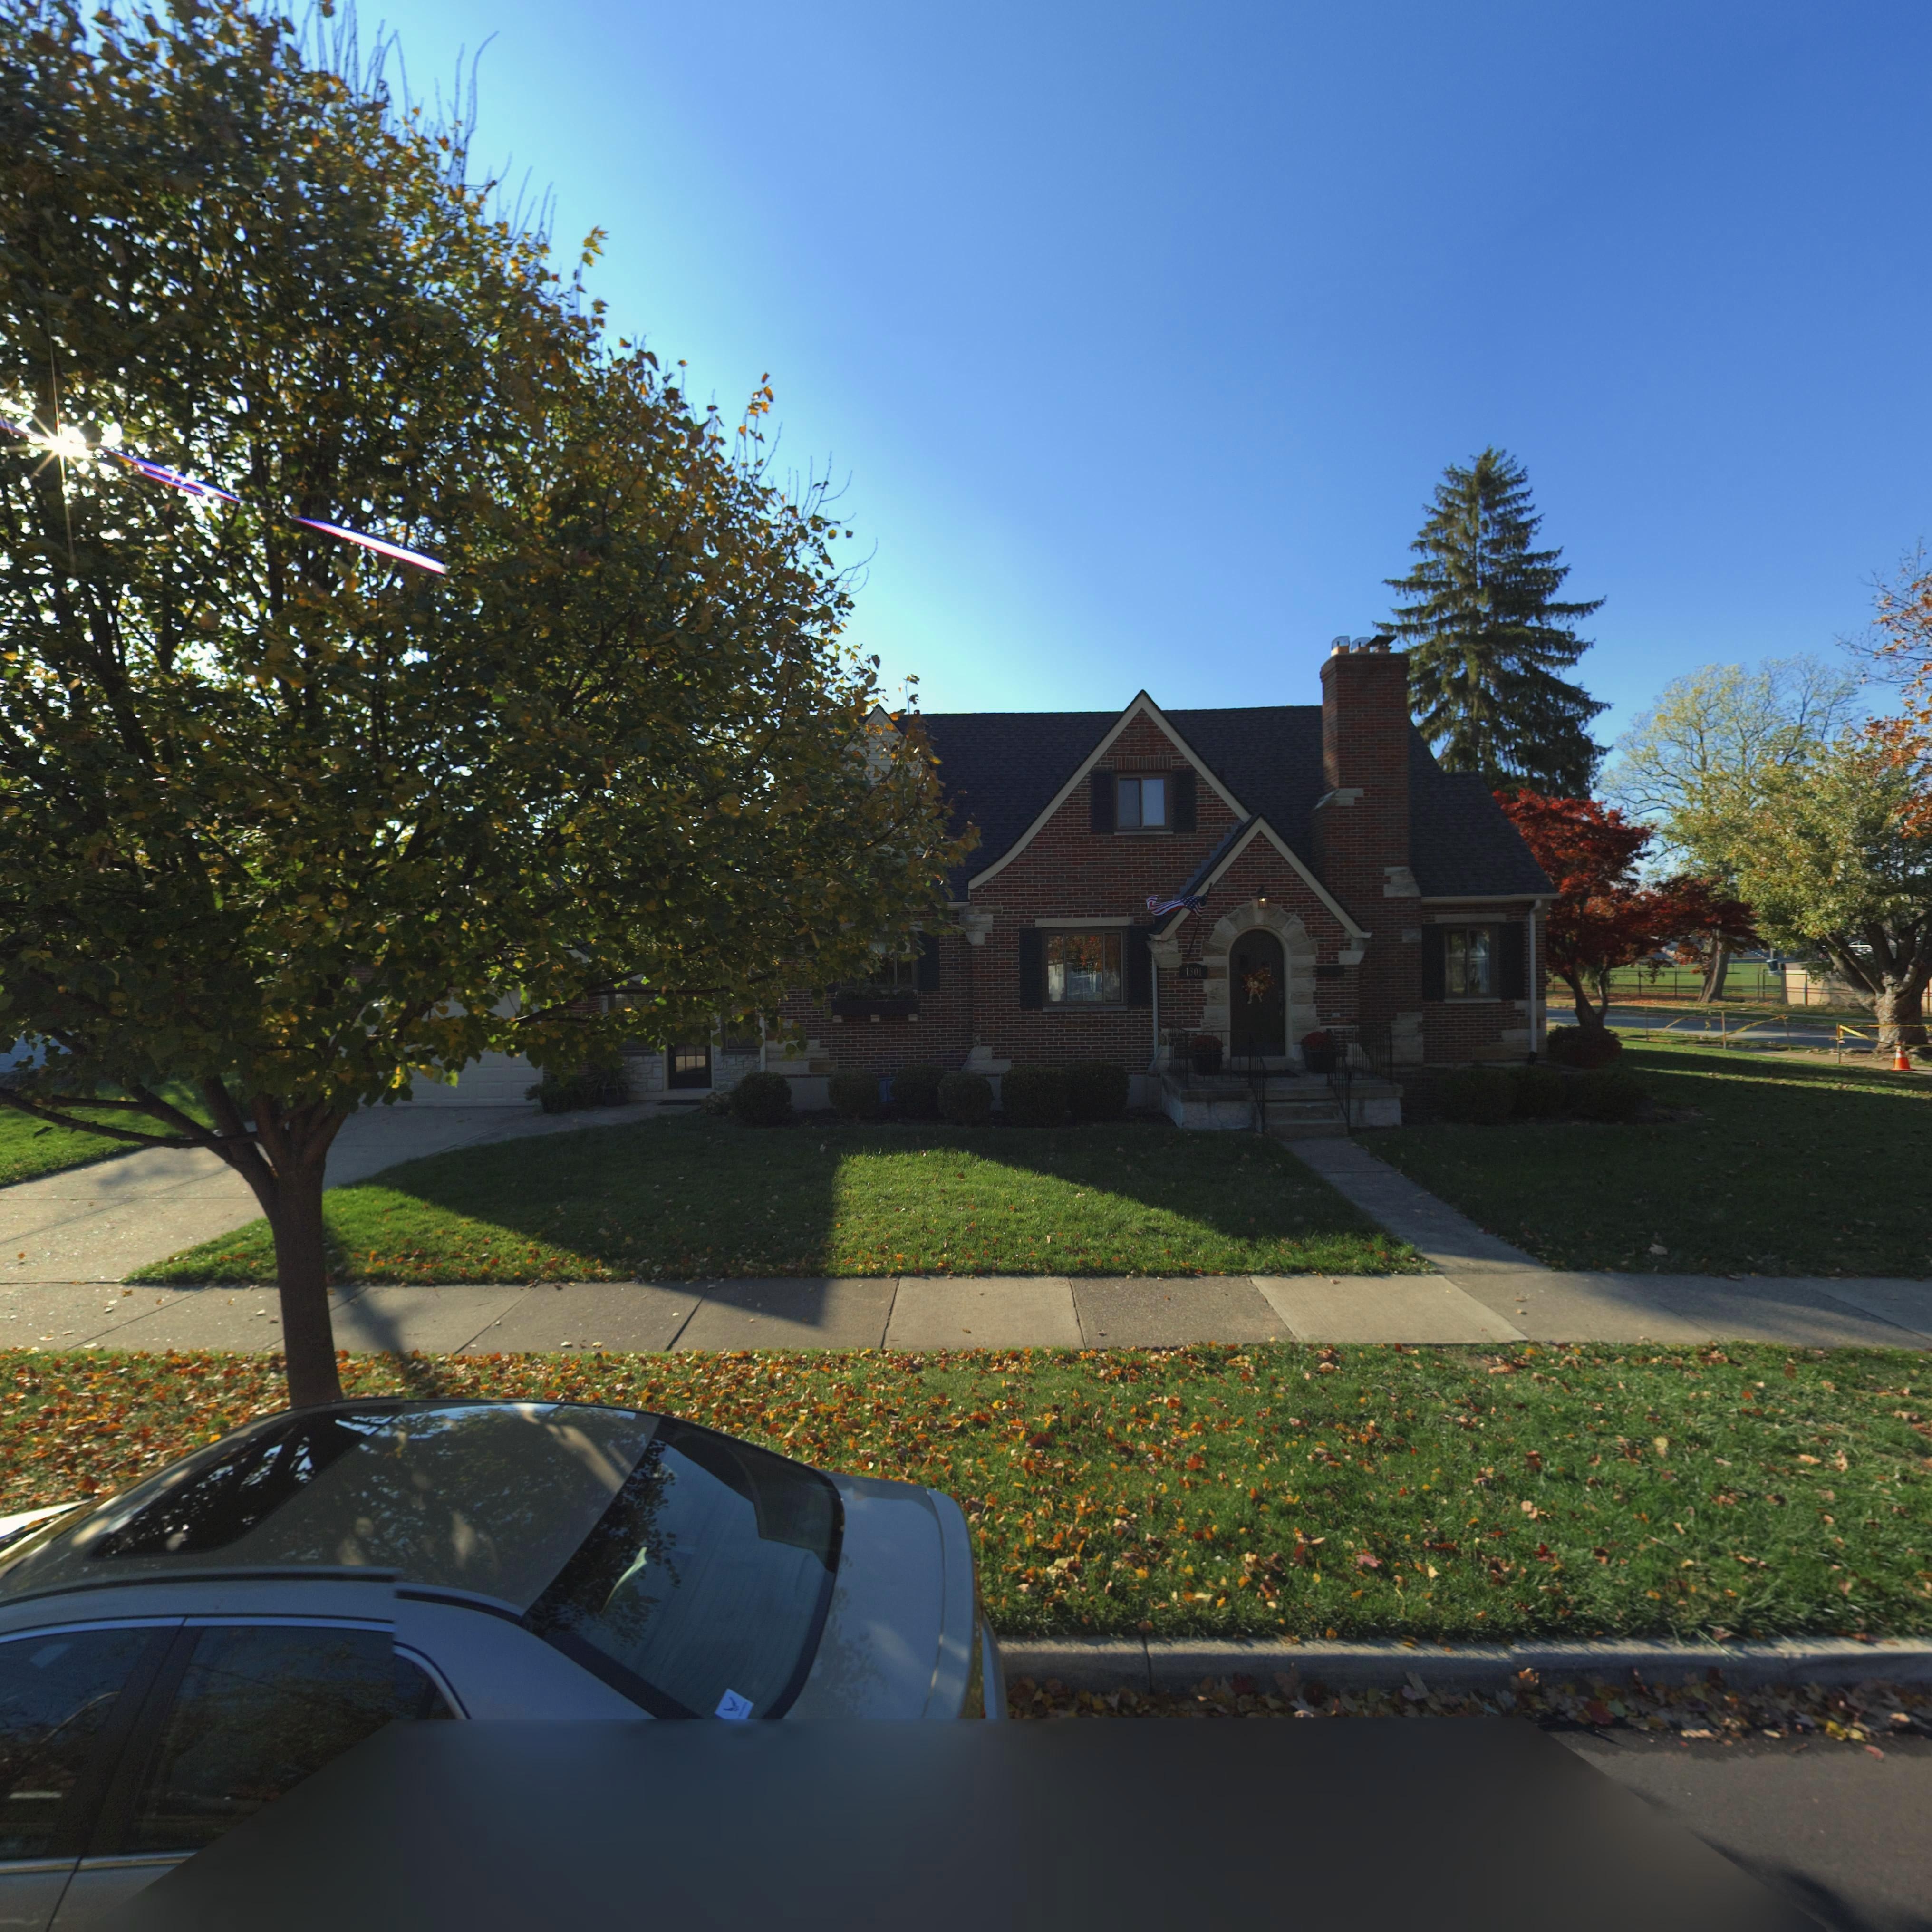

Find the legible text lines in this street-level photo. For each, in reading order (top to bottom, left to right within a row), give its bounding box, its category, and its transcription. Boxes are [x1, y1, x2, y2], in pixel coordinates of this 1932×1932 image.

[1185, 966, 1202, 976] StreetNumber: 1301